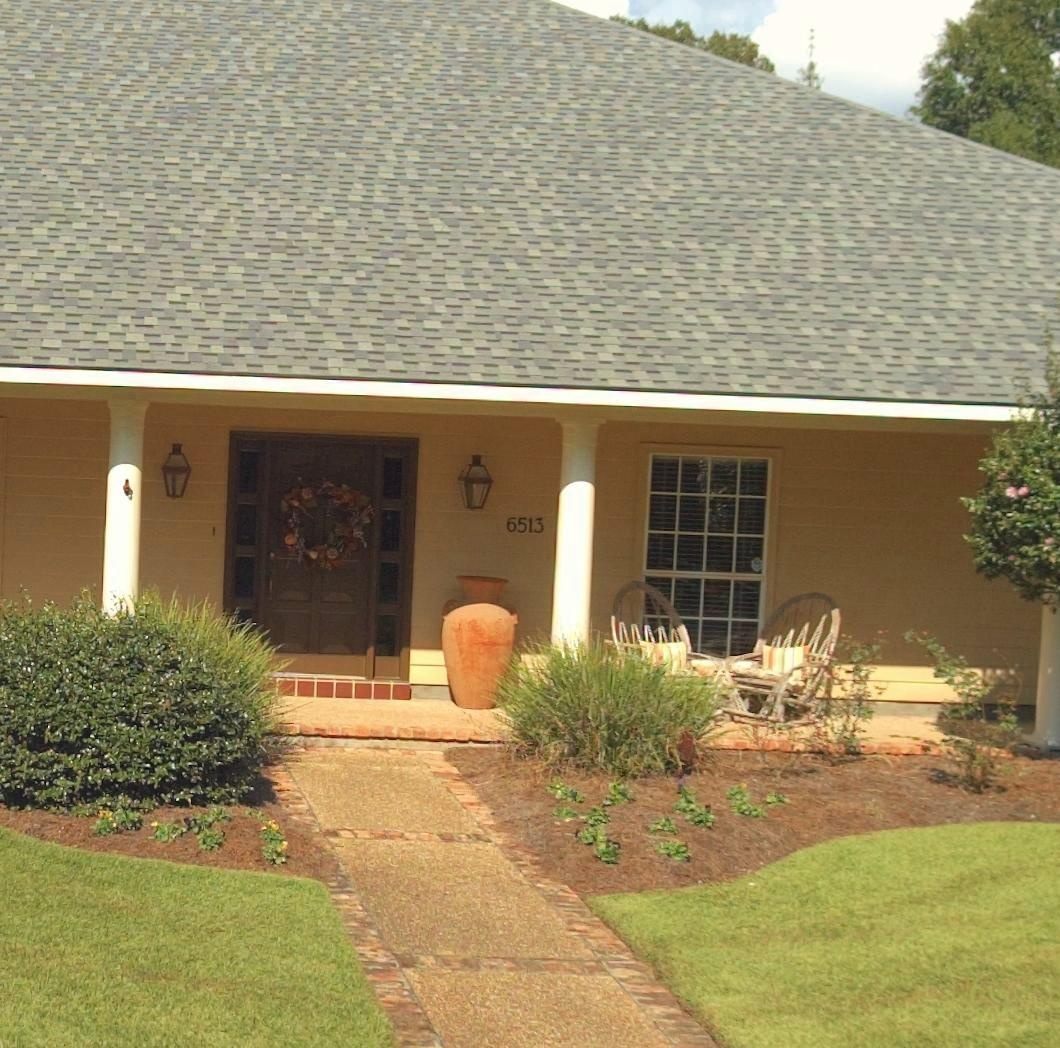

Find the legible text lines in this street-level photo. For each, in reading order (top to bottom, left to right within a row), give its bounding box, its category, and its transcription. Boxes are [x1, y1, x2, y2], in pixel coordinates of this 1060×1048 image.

[506, 516, 544, 534] StreetNumber: 6513